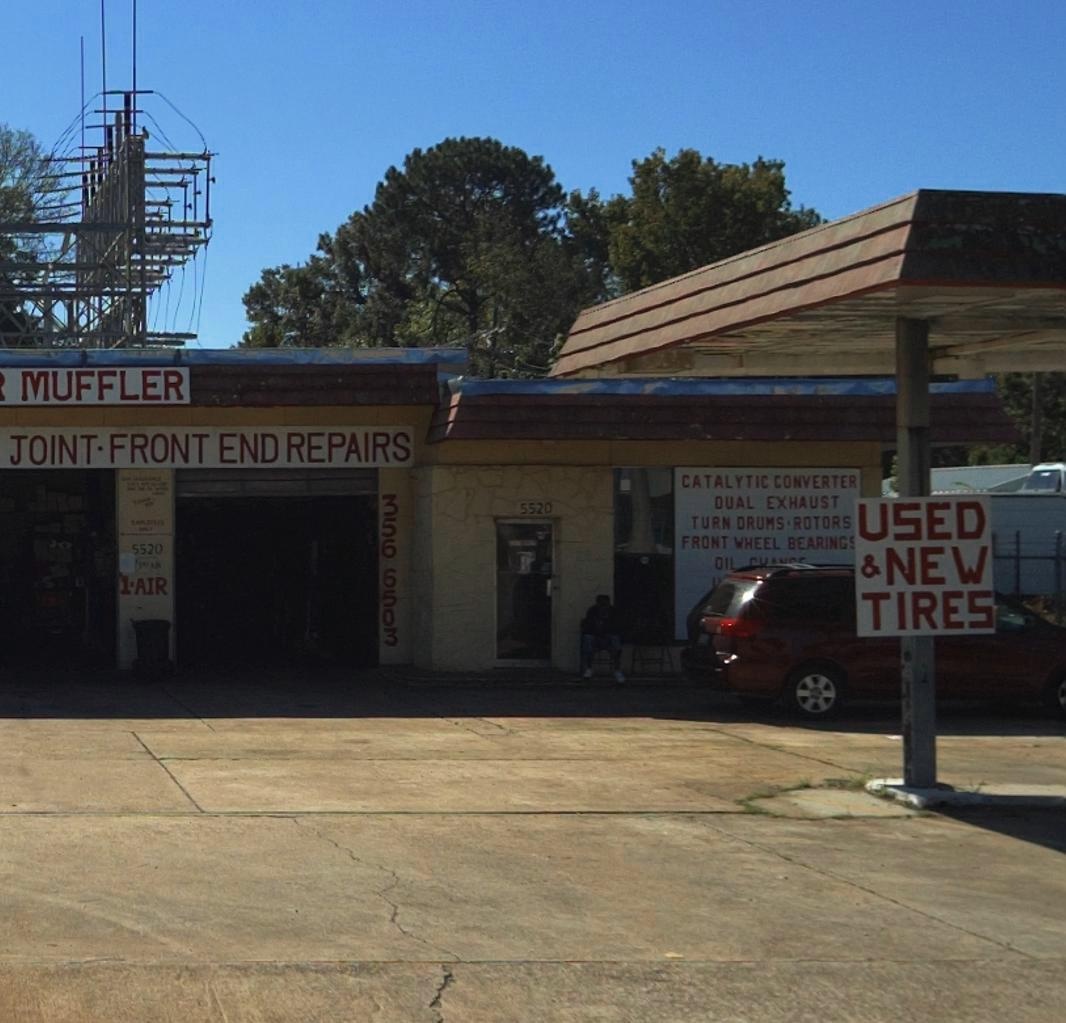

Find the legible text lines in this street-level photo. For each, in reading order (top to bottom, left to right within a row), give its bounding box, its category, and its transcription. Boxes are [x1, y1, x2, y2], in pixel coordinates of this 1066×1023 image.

[21, 370, 184, 402] BusinessName: MUFFLER
[9, 431, 411, 466] None: JOINT * FRONT END REPAIRS
[681, 474, 858, 489] None: CATALYTIC CONVERTER
[519, 500, 553, 515] StreetNumber: 5520
[714, 494, 840, 510] None: DUAL EXHAUST
[689, 515, 852, 529] None: TURN DRUMS * ROTORS
[857, 500, 986, 543] None: USED
[131, 543, 164, 556] StreetNumber: 5520
[681, 534, 848, 551] None: FRONT WHEEL BEARING
[381, 493, 399, 648] None: 356 6503
[713, 556, 738, 571] None: OIL
[884, 545, 991, 587] None: NEW
[120, 574, 168, 597] None: 1-AIR
[860, 590, 995, 631] None: TIRES